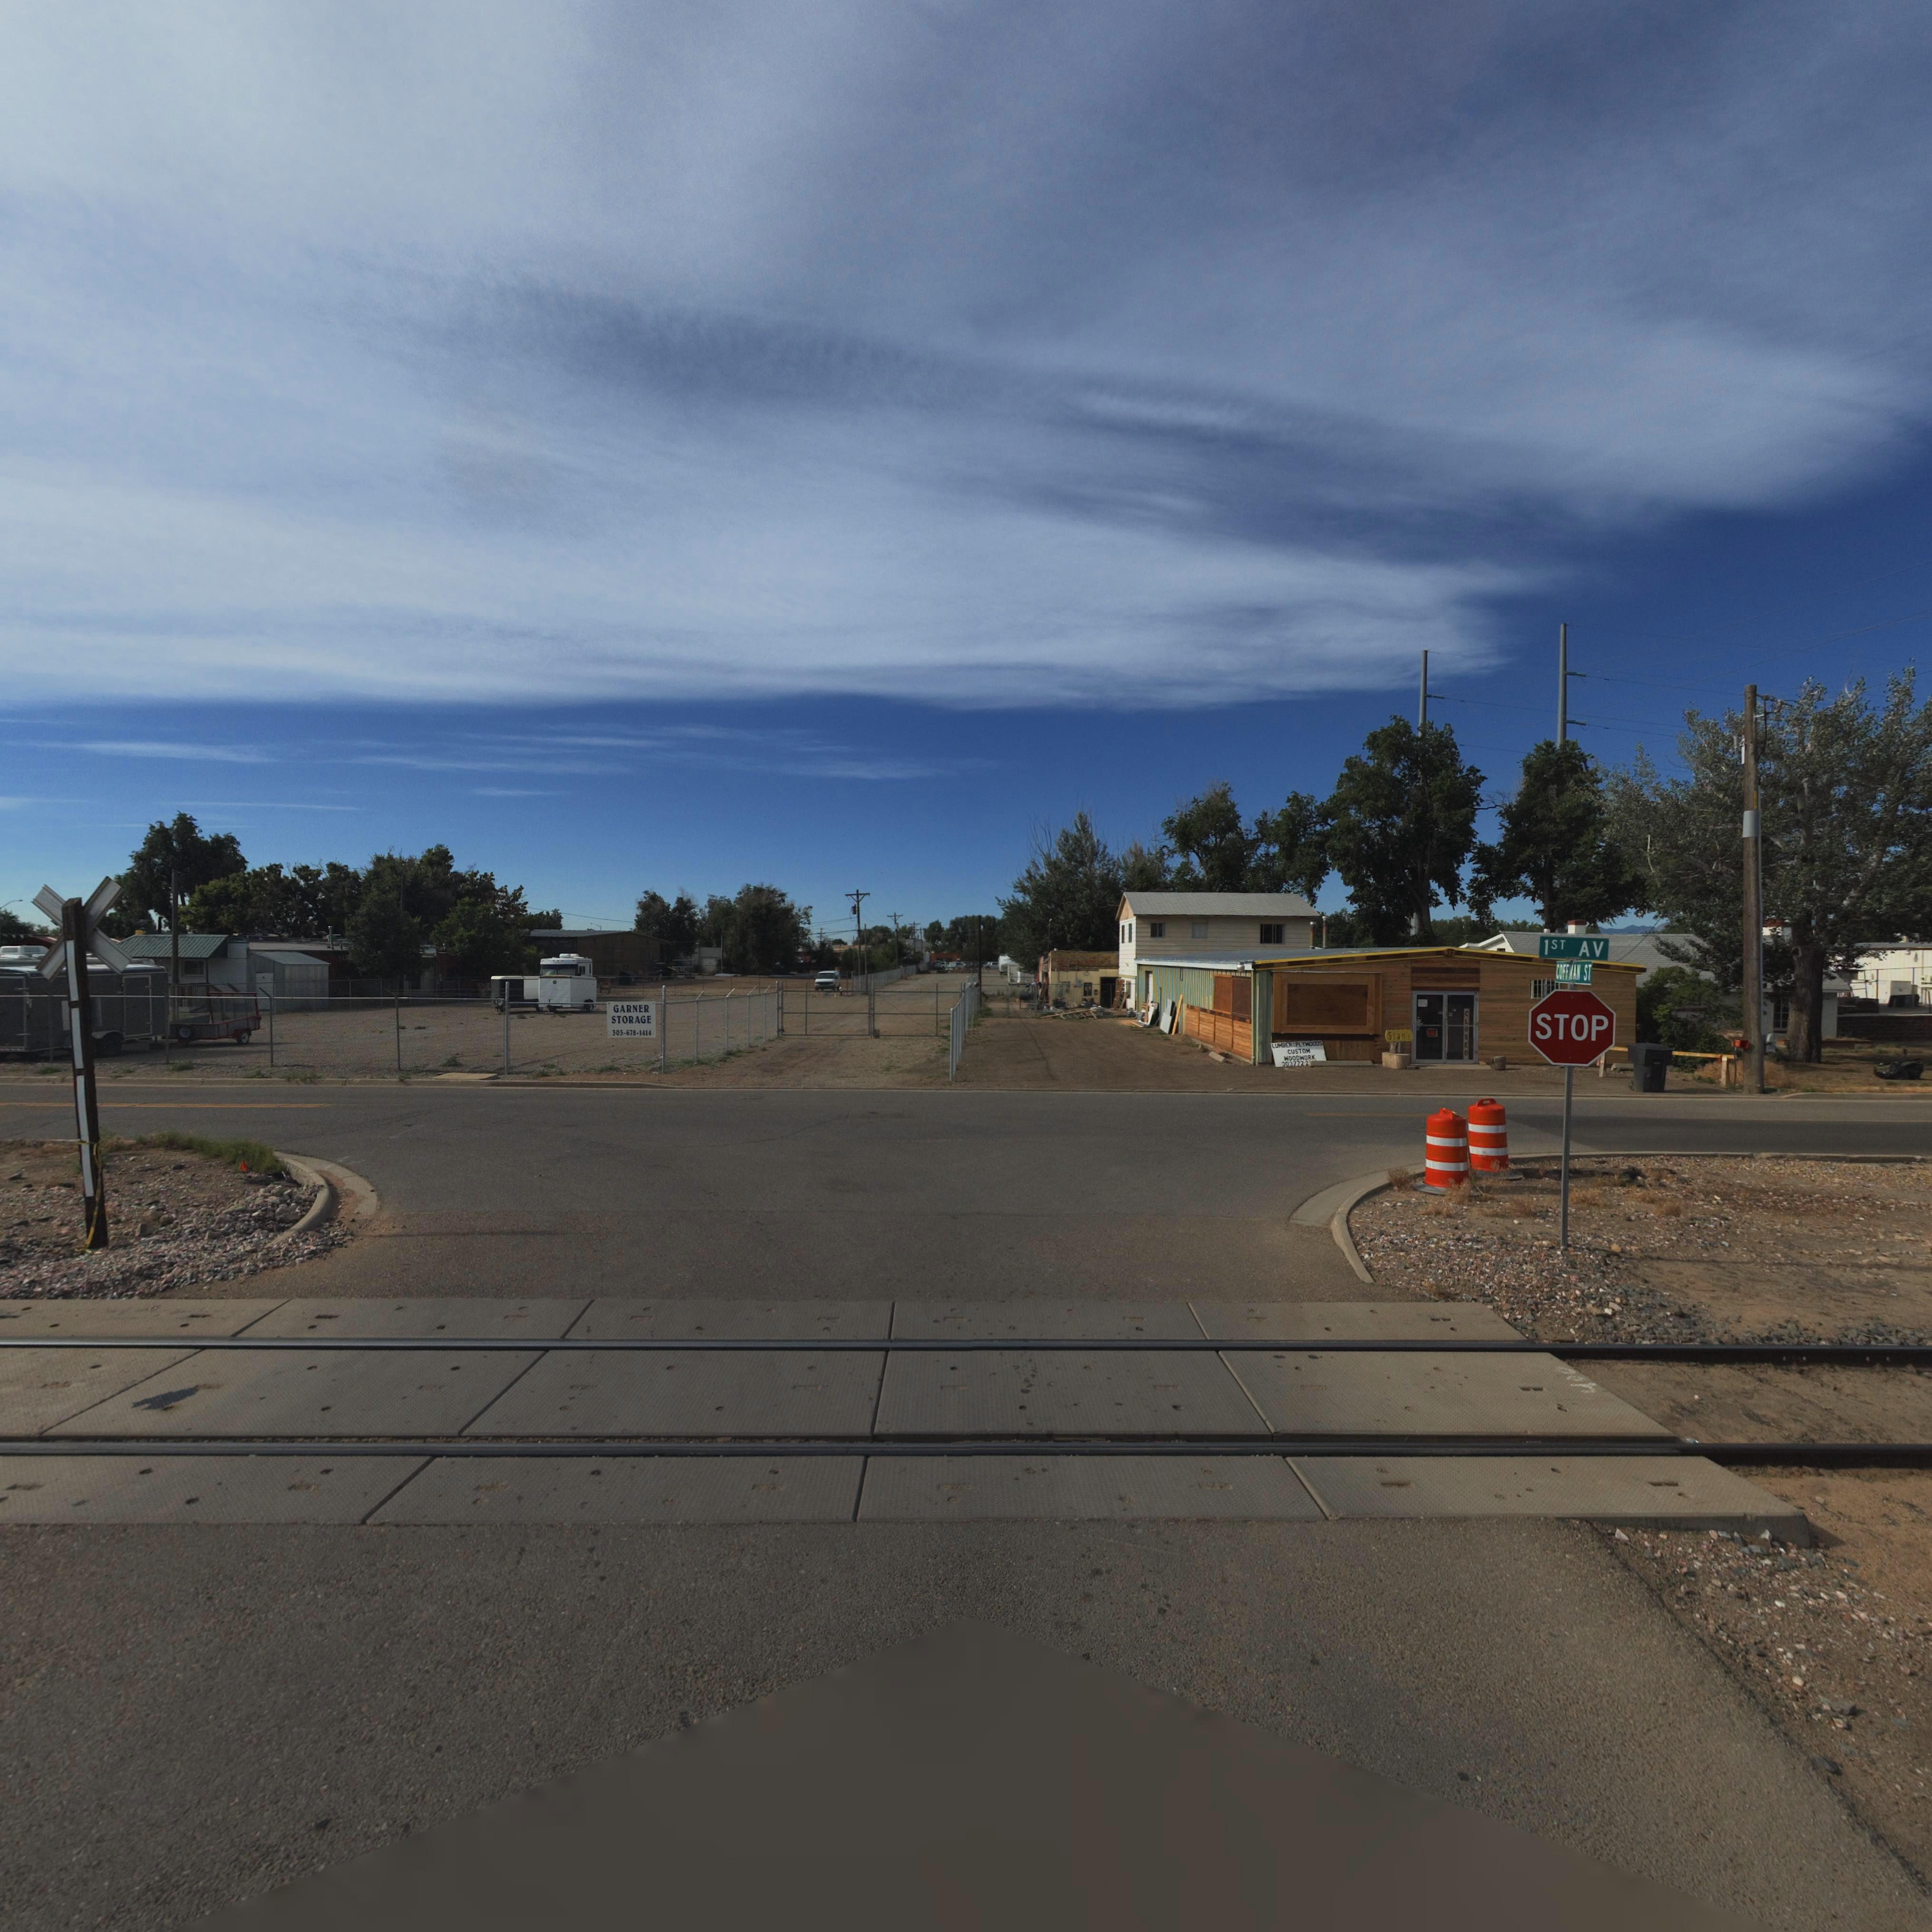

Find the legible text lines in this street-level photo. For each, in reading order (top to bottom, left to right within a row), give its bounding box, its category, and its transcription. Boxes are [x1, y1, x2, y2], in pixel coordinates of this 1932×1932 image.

[1544, 938, 1605, 957] StreetName: 1ST AV
[1444, 949, 1456, 956] StreetNumber: 617
[1555, 963, 1593, 982] StreetName: COFFMAN ST
[613, 1004, 649, 1013] BusinessName: GARNER
[611, 1015, 651, 1024] BusinessName: STORAGE
[1387, 1031, 1411, 1040] BusinessName: Stan's